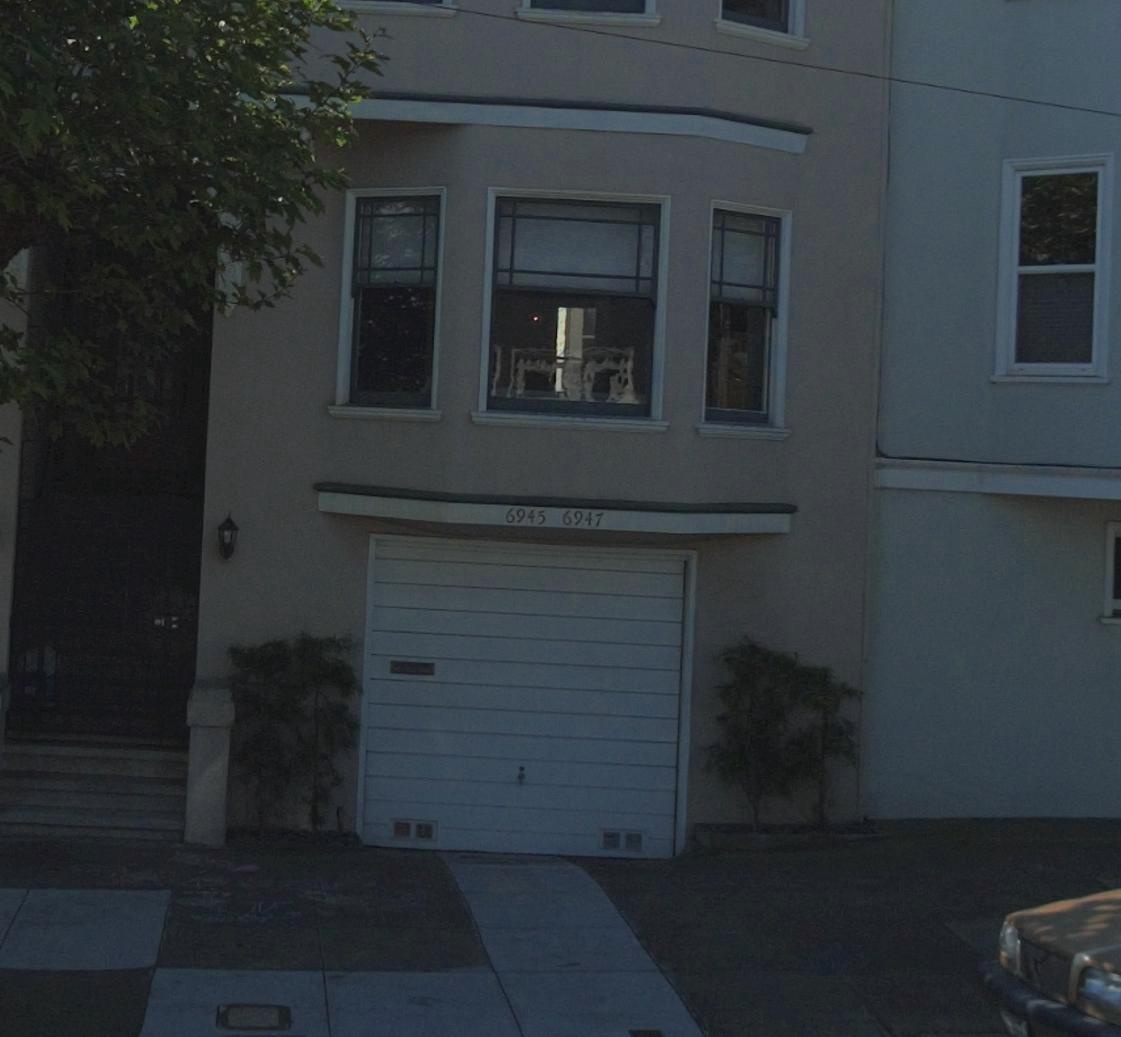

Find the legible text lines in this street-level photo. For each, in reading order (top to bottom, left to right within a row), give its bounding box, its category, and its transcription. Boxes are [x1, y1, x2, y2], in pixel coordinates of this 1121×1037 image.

[503, 506, 547, 525] StreetNumber: 6945
[562, 509, 604, 528] StreetNumber: 6947